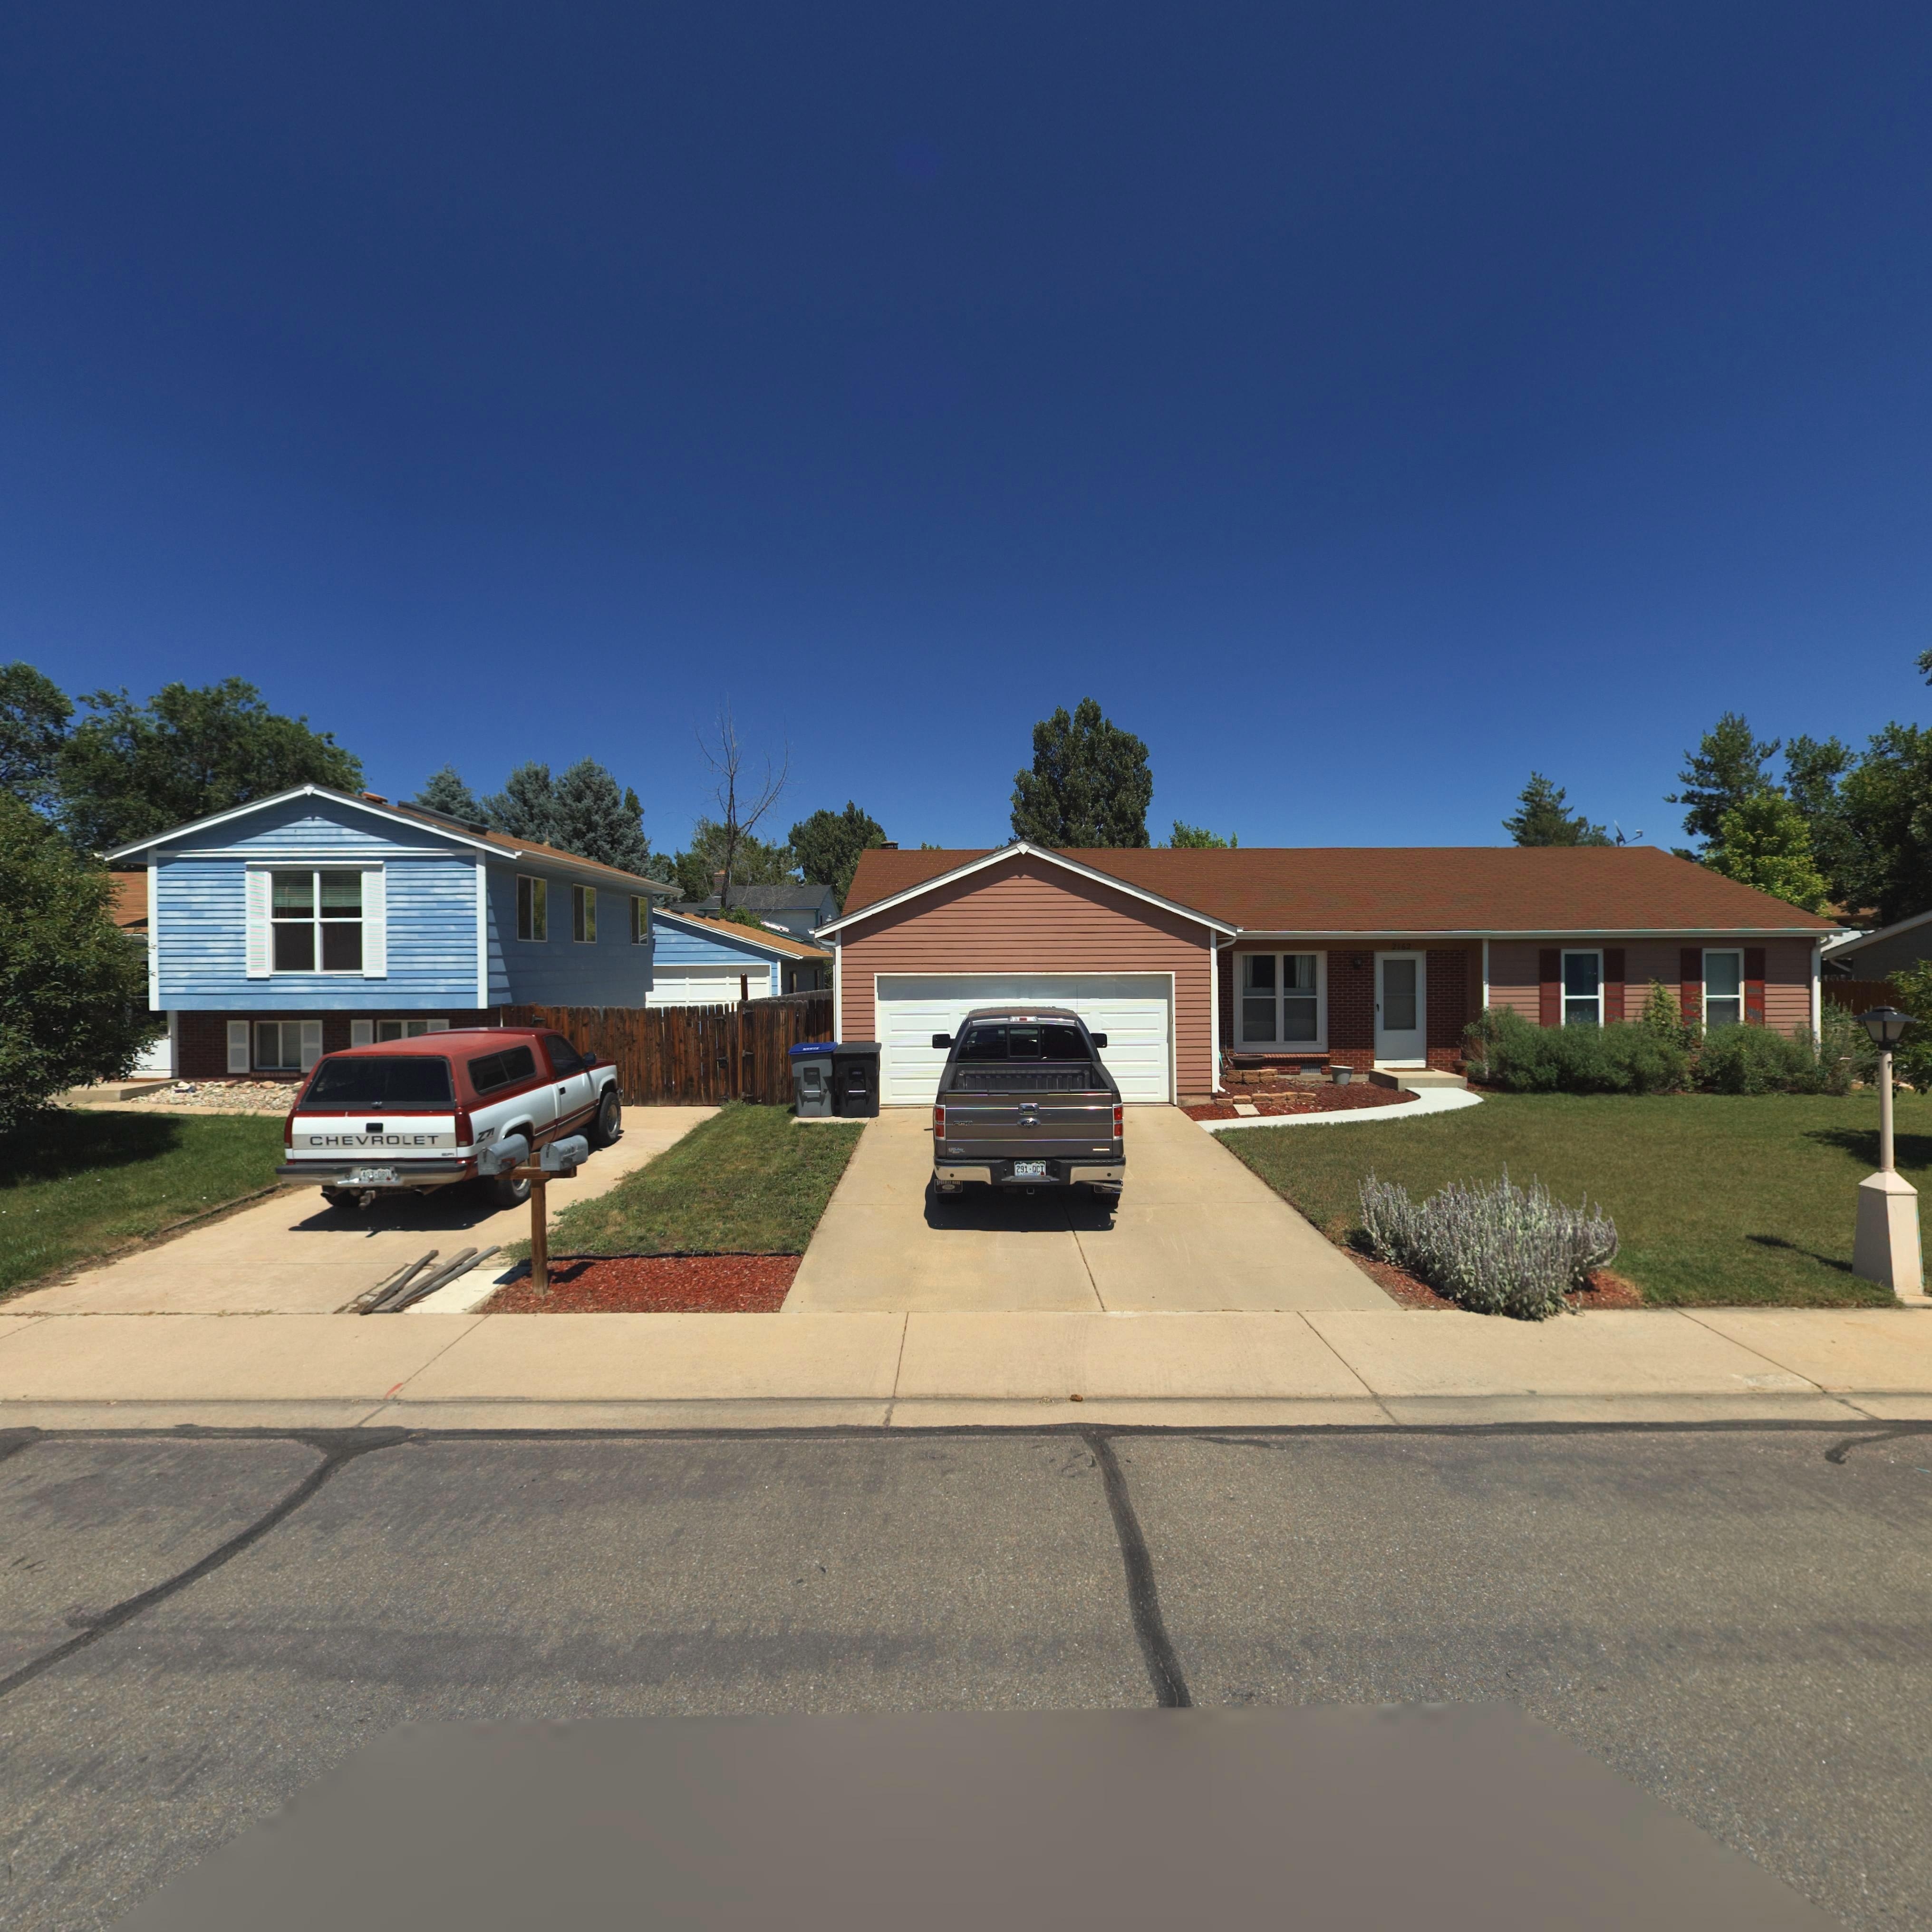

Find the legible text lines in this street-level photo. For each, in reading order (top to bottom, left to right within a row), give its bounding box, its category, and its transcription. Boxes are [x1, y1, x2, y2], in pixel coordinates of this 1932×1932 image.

[1391, 942, 1411, 950] StreetNumber: 2162
[568, 1146, 575, 1153] StreetNumber: *0